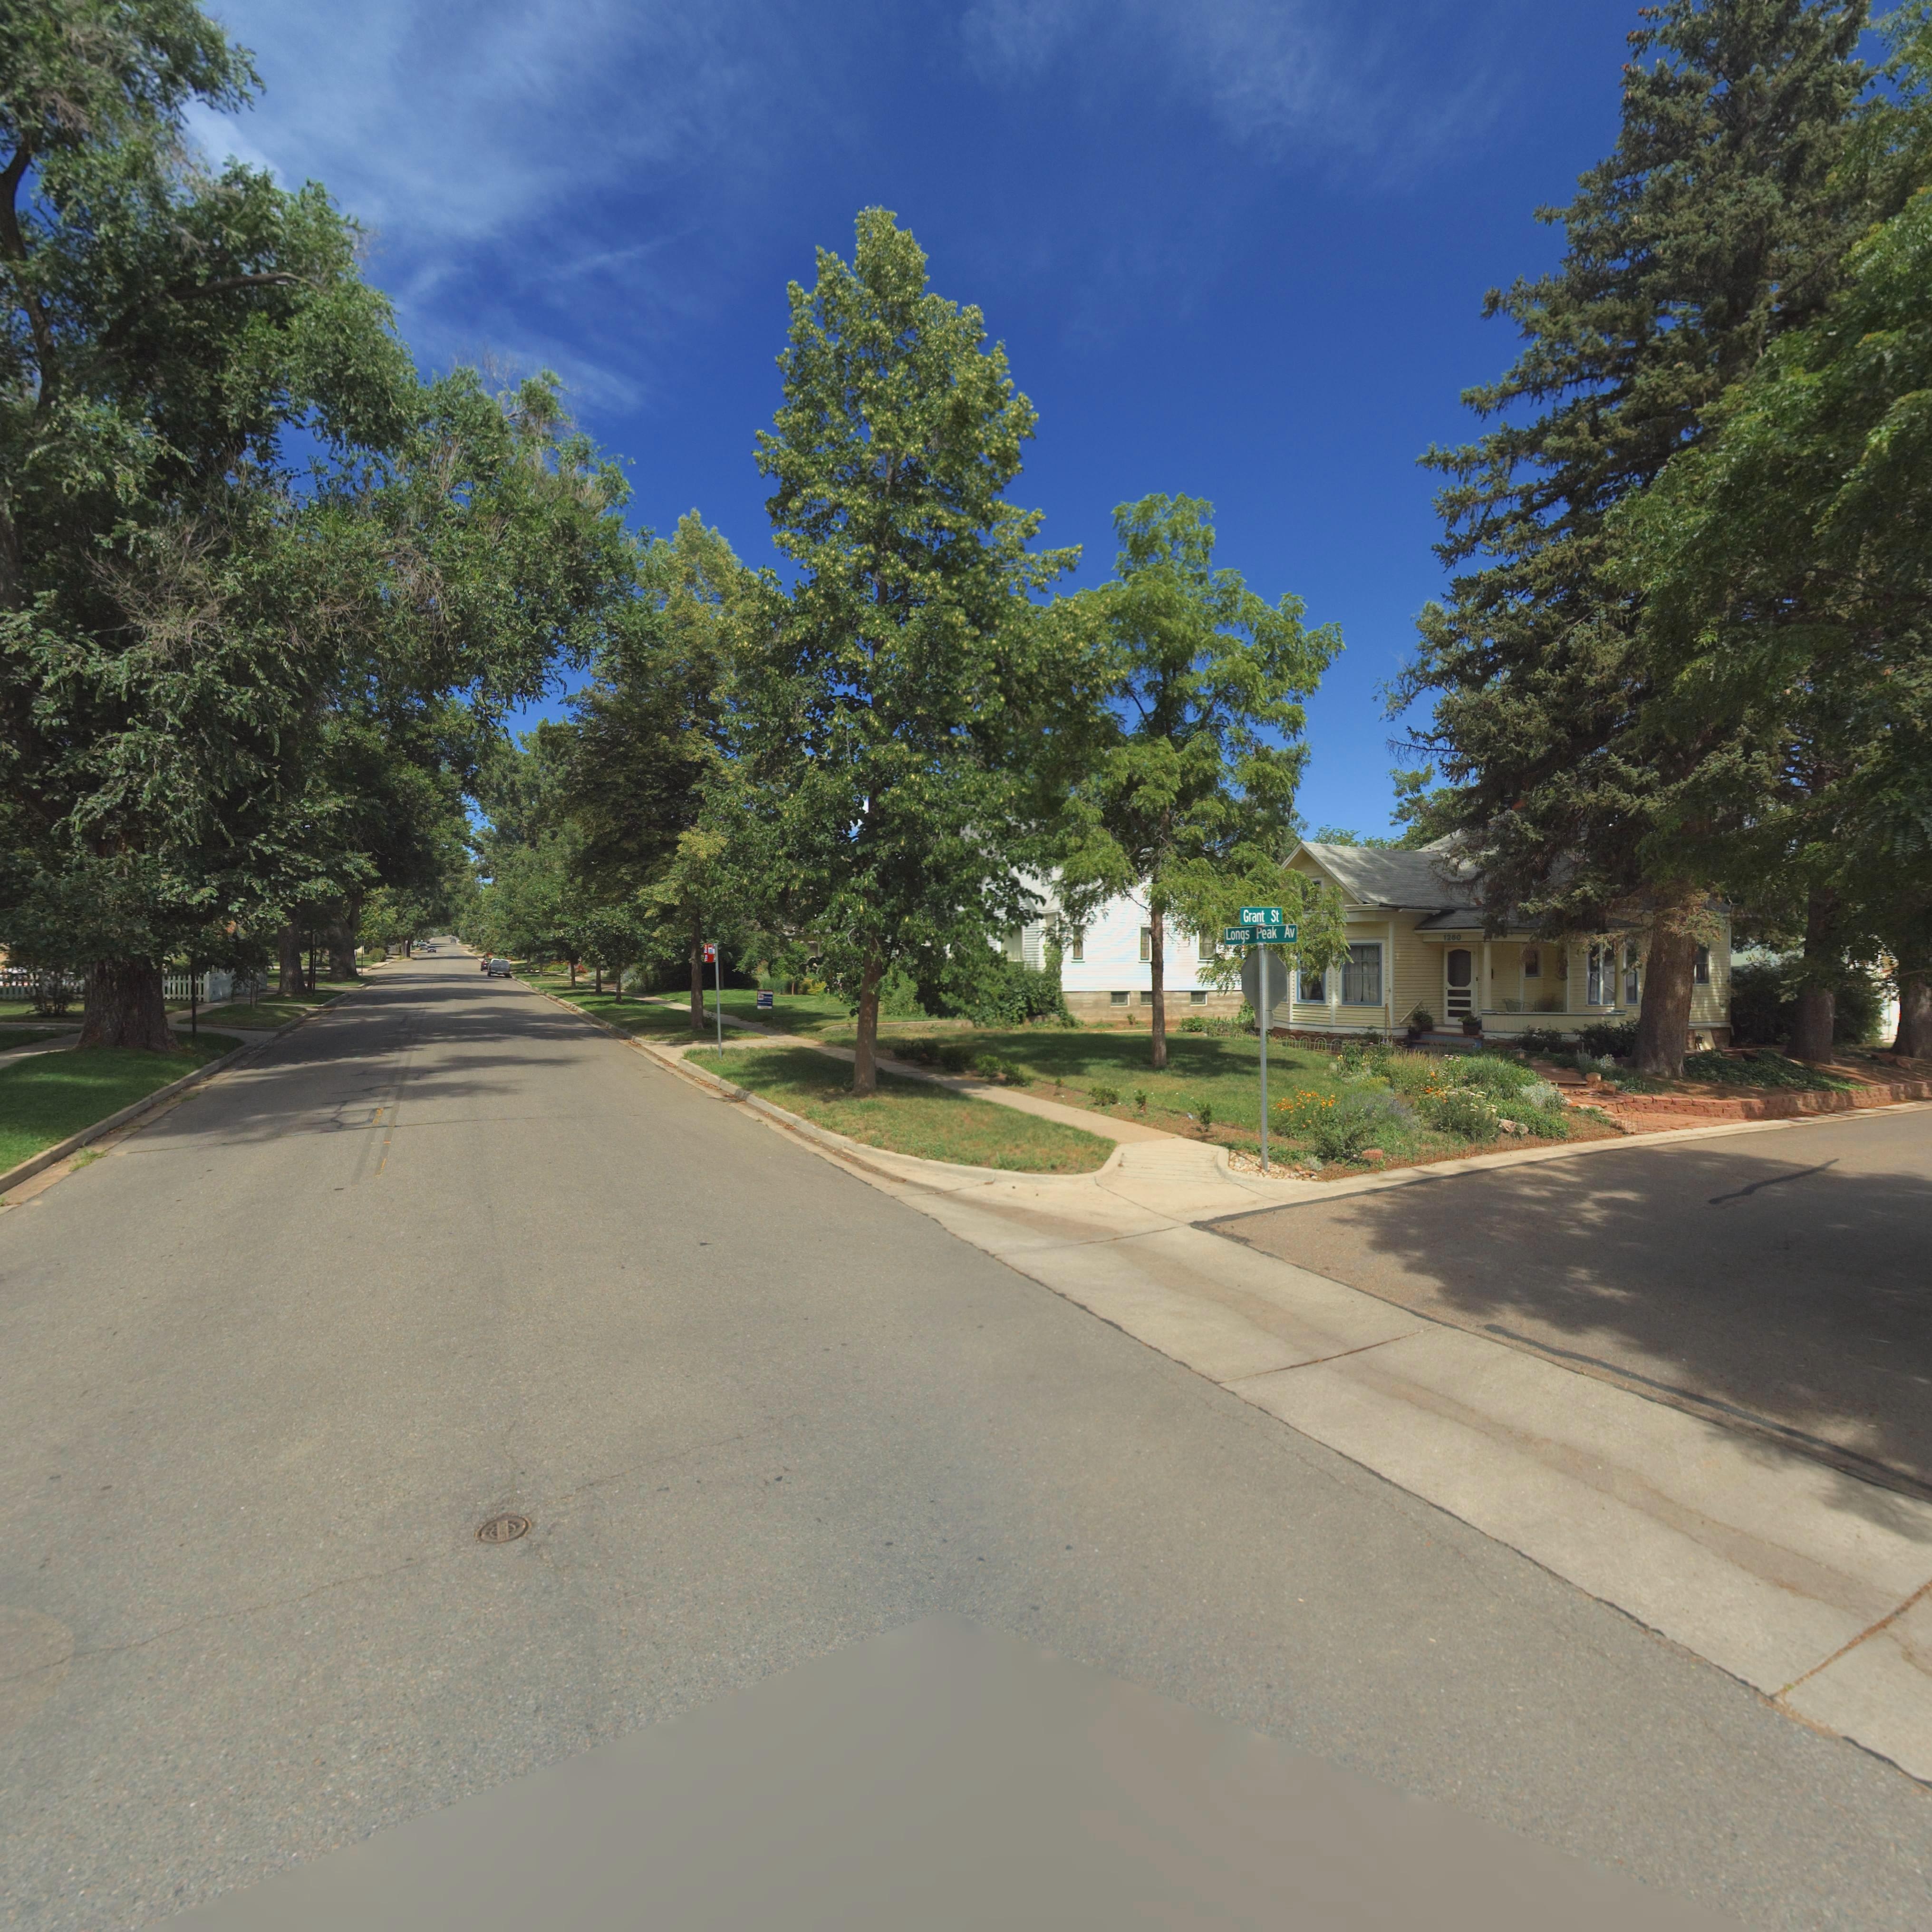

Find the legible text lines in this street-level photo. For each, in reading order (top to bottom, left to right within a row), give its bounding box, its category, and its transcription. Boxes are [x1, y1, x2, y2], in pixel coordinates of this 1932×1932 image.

[1242, 908, 1280, 923] StreetName: Grant St
[1225, 925, 1296, 944] StreetName: Longs Peak Av
[1442, 934, 1461, 940] StreetNumber: 12*0